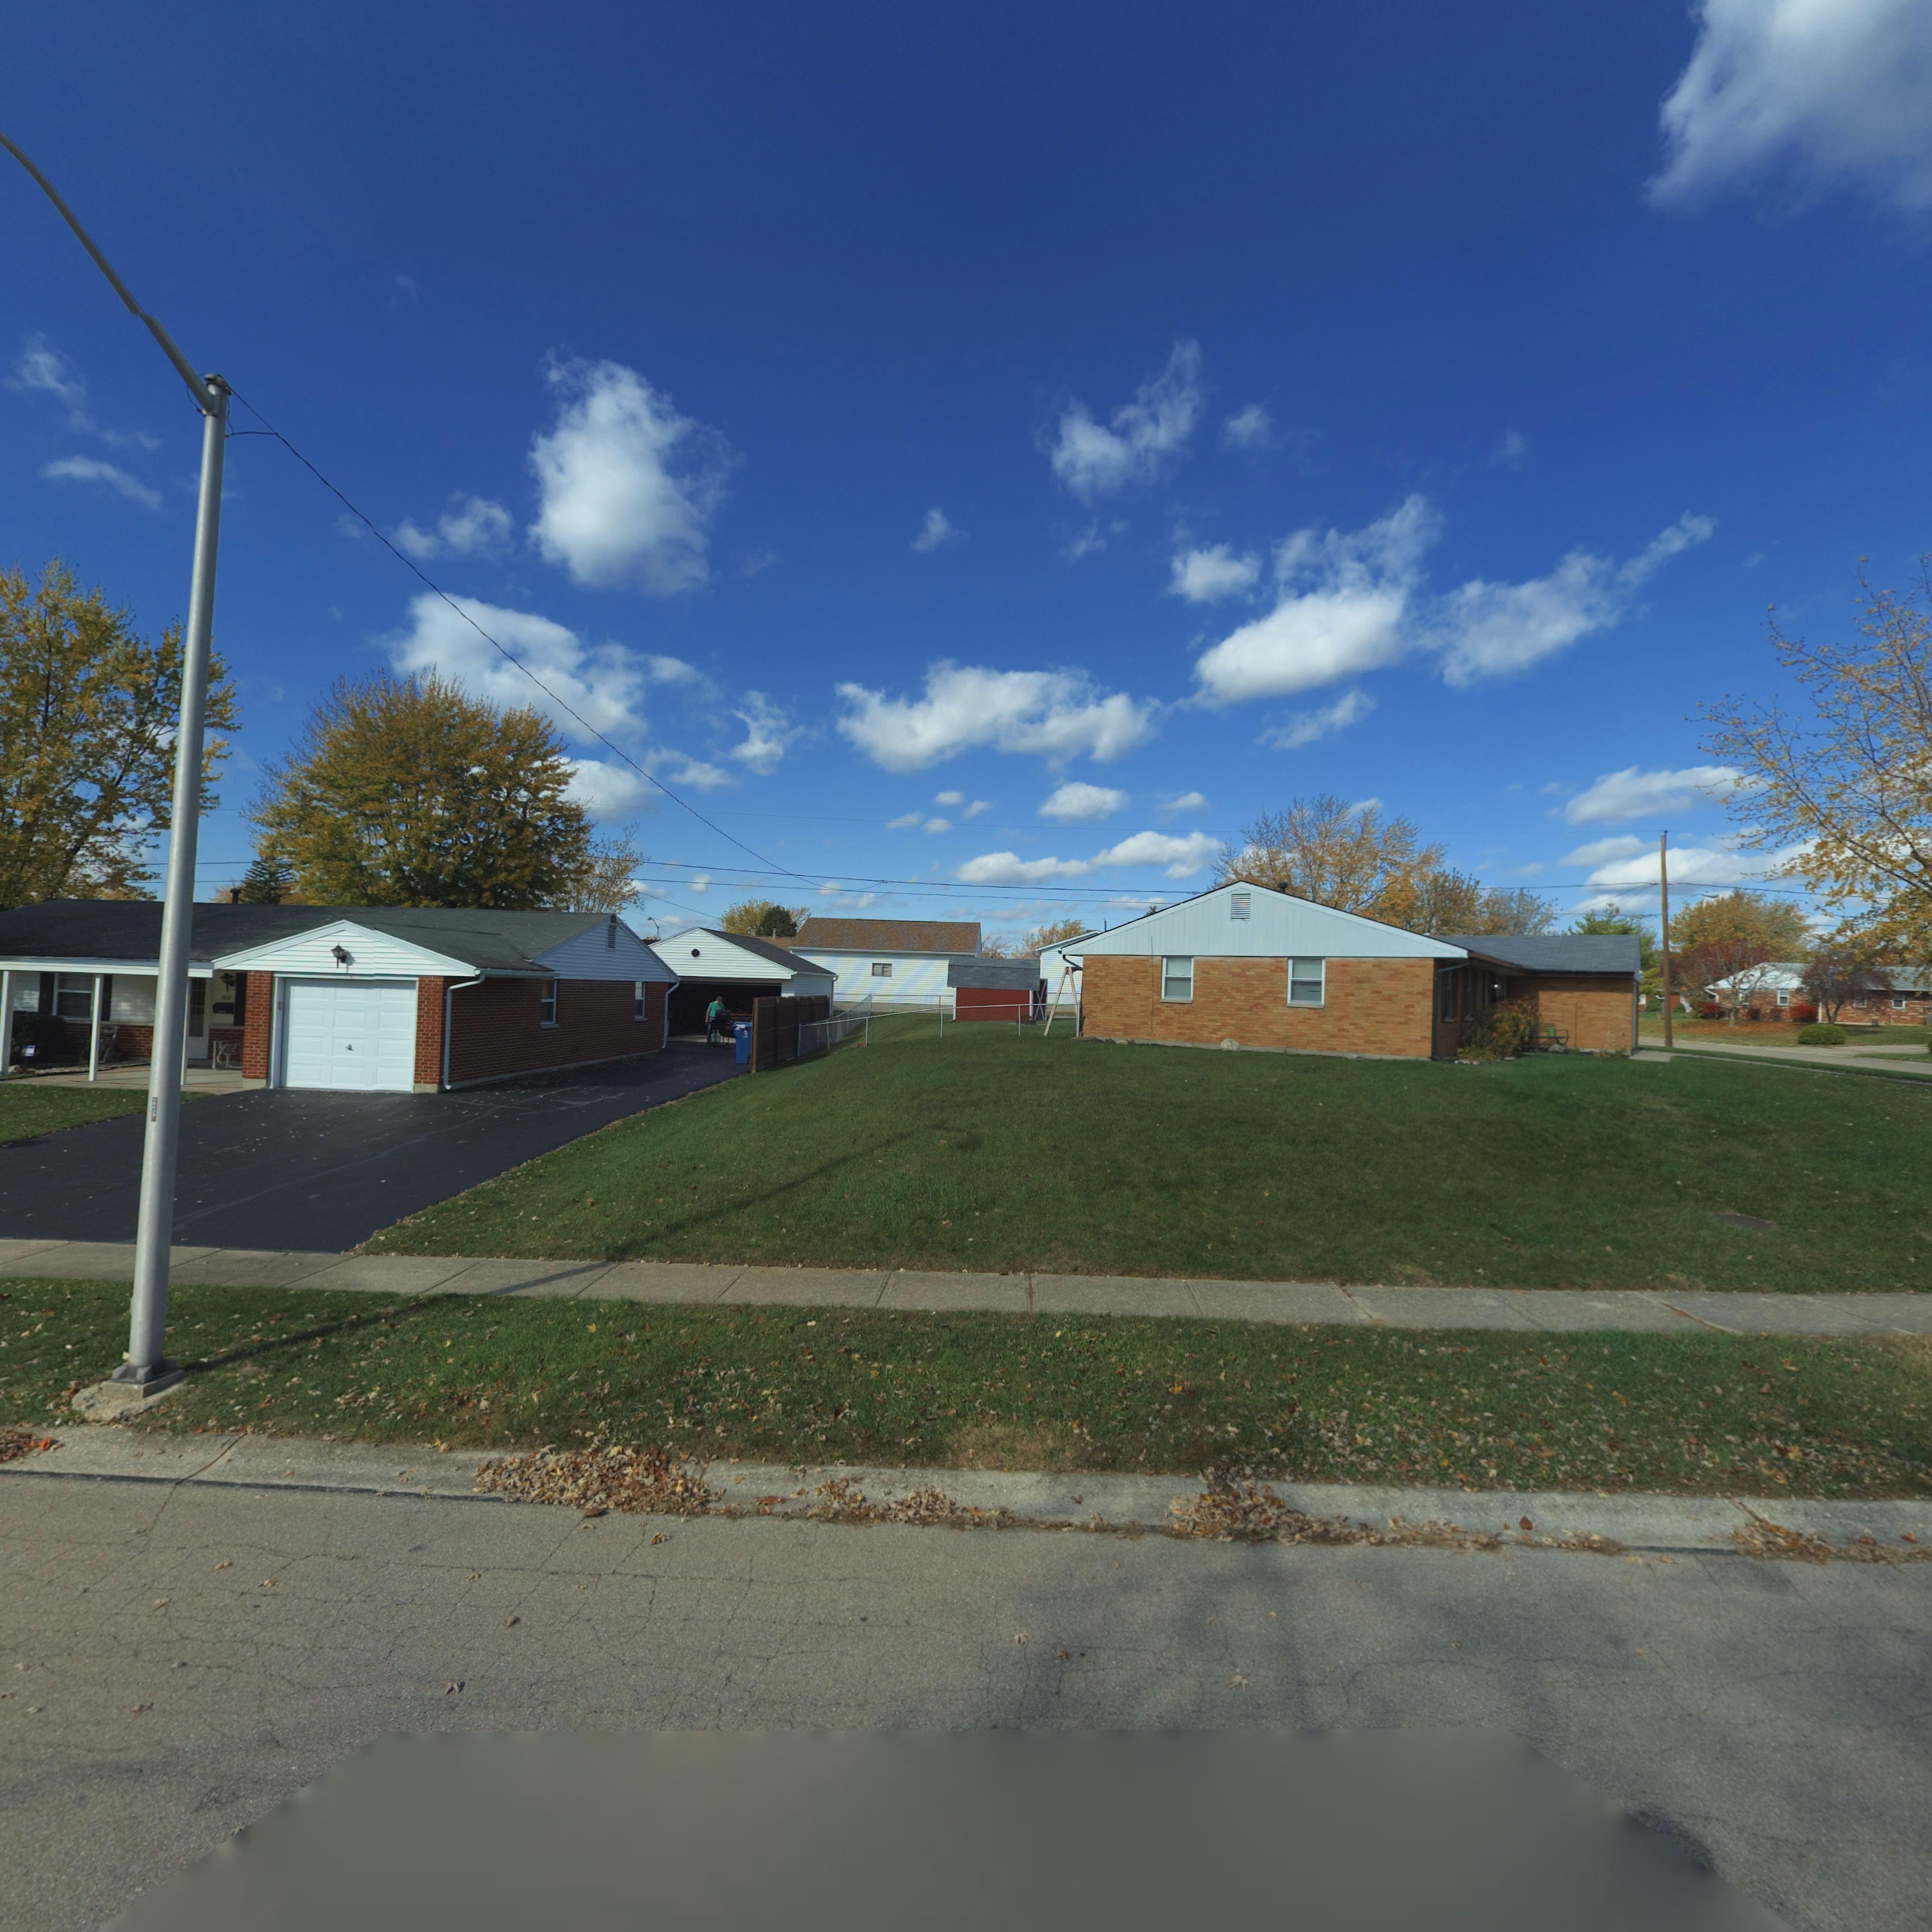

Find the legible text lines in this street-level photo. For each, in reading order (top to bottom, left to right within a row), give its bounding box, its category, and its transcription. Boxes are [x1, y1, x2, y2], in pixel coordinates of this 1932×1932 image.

[221, 995, 233, 1000] StreetNumber: *64*